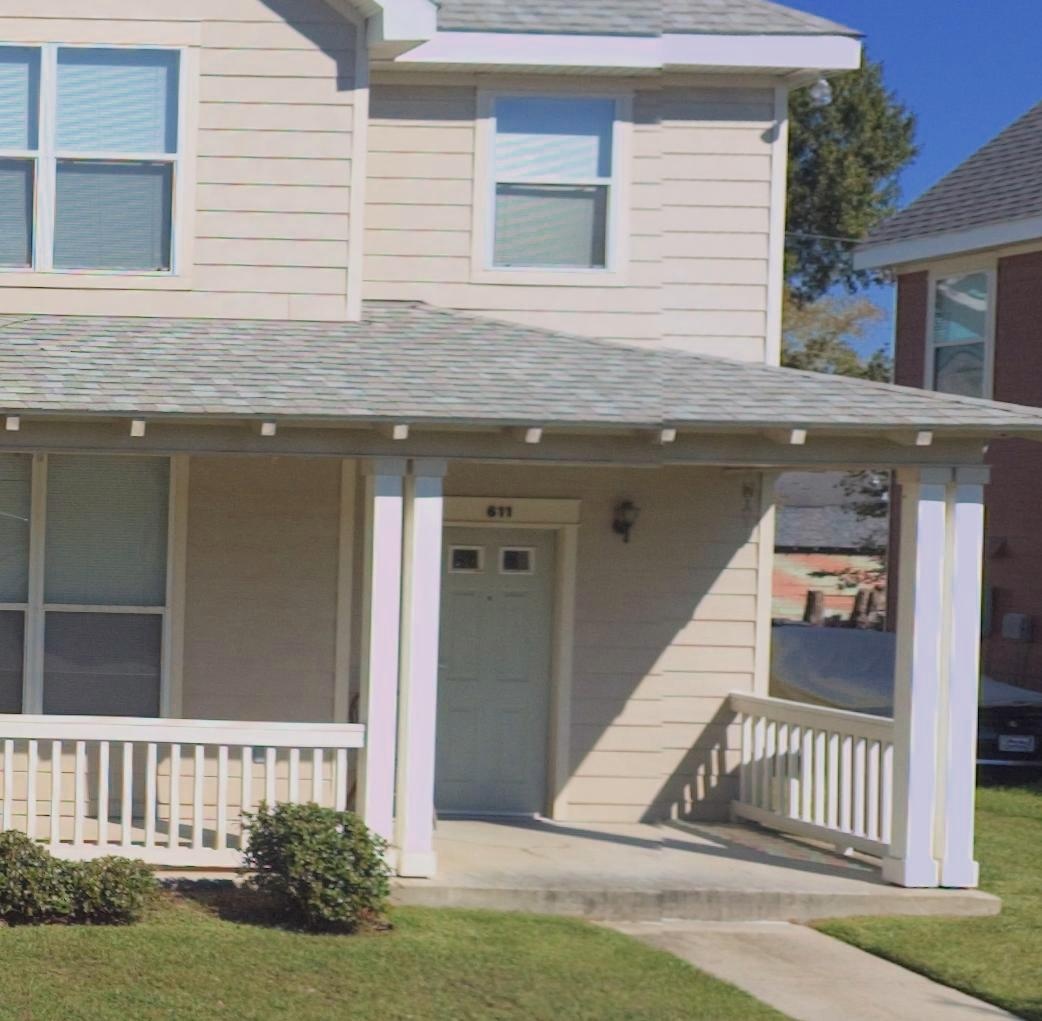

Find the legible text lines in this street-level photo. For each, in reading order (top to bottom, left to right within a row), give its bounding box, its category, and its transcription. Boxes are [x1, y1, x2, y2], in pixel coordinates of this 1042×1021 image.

[485, 504, 514, 520] StreetNumber: 611